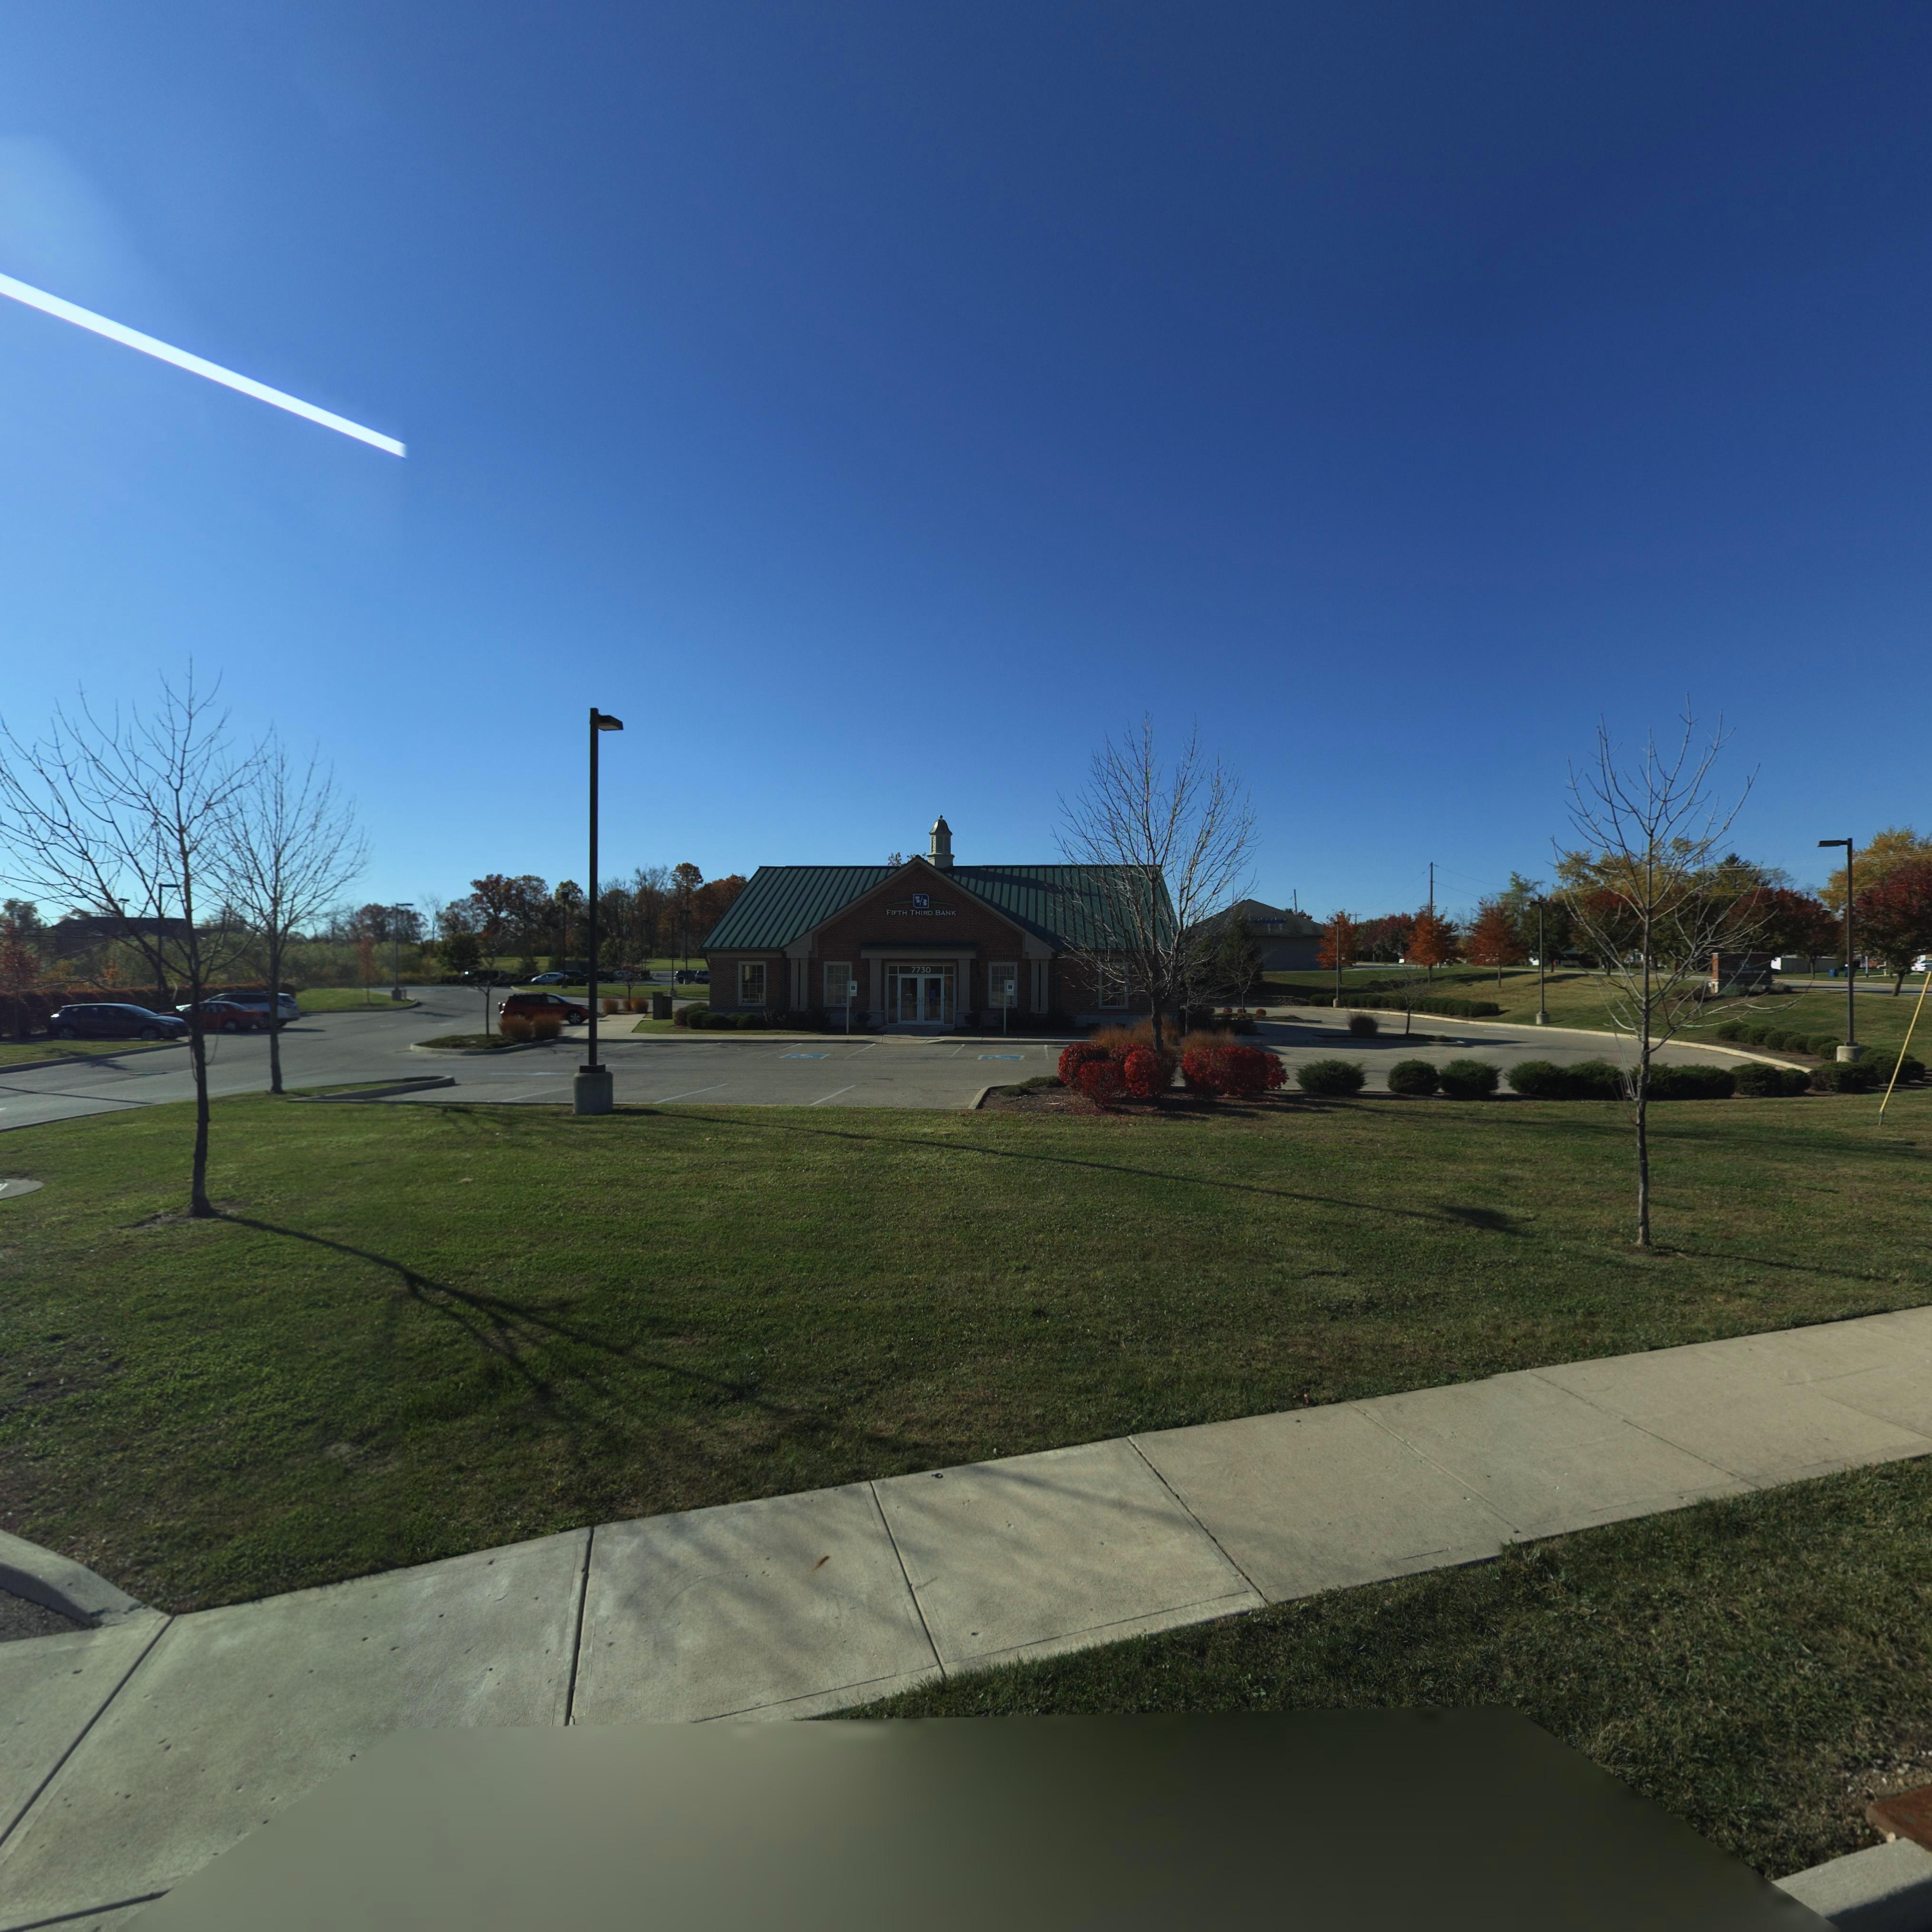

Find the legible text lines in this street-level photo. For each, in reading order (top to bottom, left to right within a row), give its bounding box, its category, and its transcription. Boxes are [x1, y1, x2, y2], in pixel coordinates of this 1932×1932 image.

[911, 966, 931, 974] StreetNumber: 7730